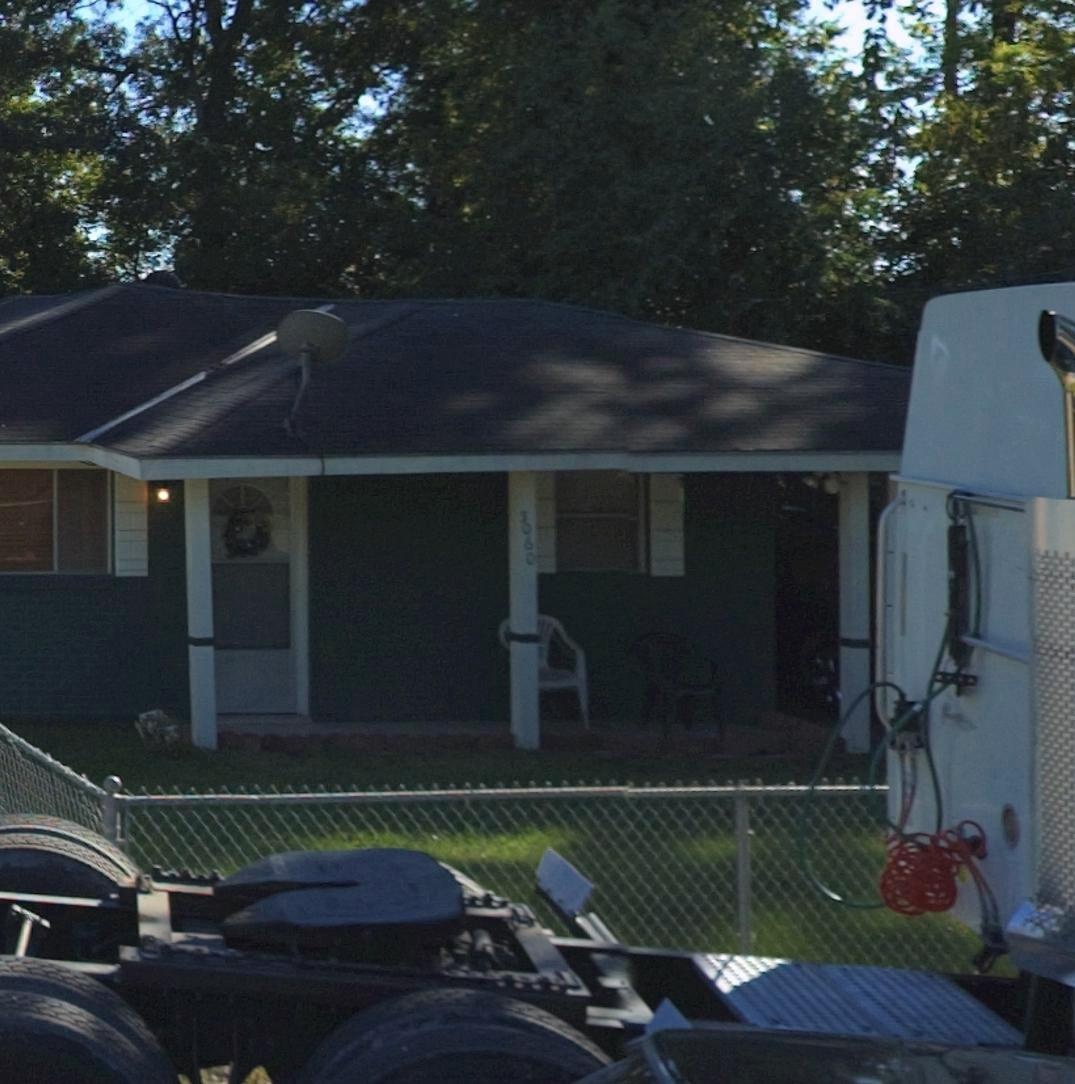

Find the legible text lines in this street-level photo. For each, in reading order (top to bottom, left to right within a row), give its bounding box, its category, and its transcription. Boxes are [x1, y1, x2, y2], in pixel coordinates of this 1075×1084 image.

[517, 507, 536, 566] StreetNumber: 5060